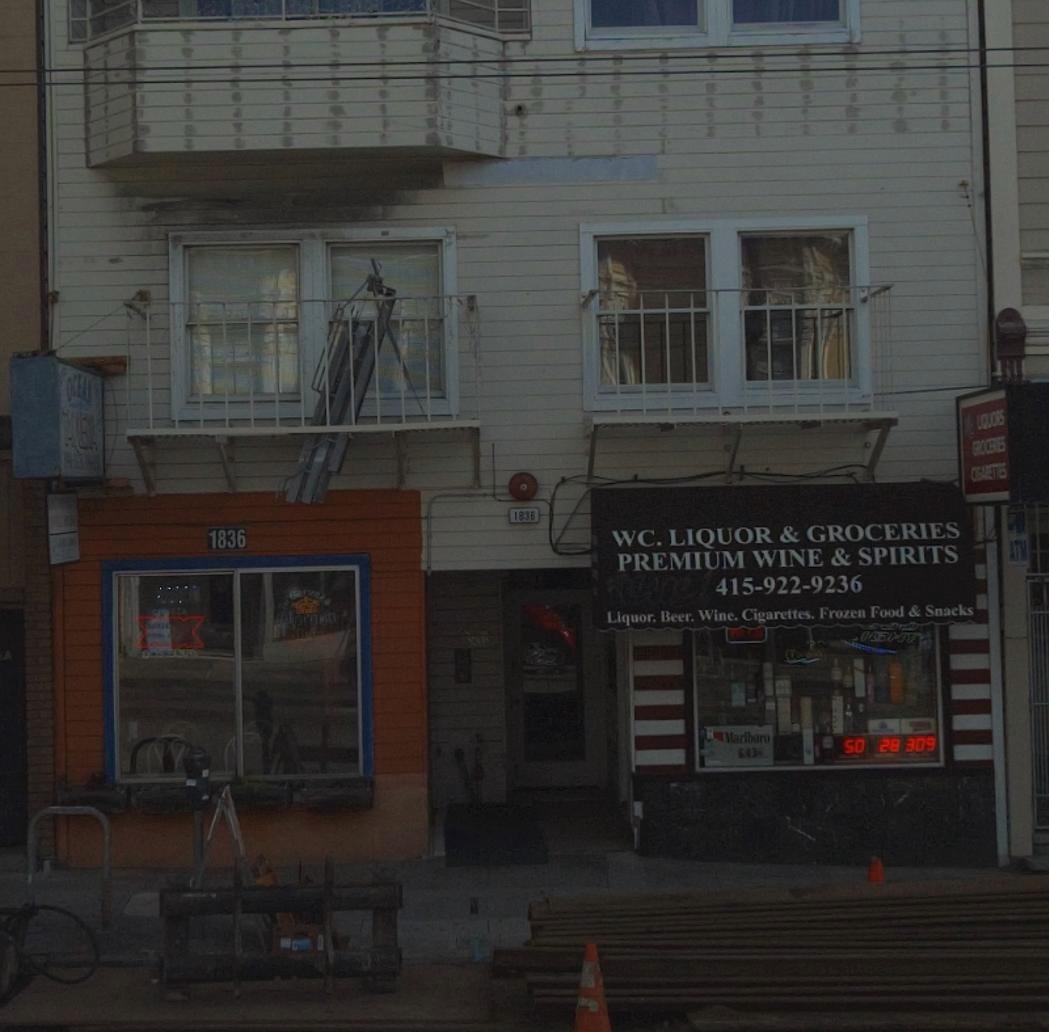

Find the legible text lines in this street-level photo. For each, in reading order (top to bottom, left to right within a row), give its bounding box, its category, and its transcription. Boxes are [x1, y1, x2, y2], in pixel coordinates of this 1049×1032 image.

[975, 404, 1009, 434] None: ***UORS
[970, 432, 1008, 460] None: **OCE**ES
[968, 458, 1010, 485] None: CI*A*ETTES
[513, 509, 537, 523] StreetNumber: 1836
[206, 526, 249, 551] StreetNumber: 1836
[607, 517, 965, 551] BusinessName: WC. LIQUOR & GROCERIES
[615, 542, 963, 574] None: PREMIUM WINE & SPIRITS
[709, 573, 865, 600] None: 415-922-9236
[602, 600, 976, 631] None: Liquor. Beer. Wine. Cigarettes. Frozen Food & Snacks
[133, 613, 207, 651] None: XX
[722, 729, 772, 747] None: Marbaro
[735, 746, 759, 760] None: 6.43
[841, 735, 868, 756] None: 50
[873, 734, 902, 756] None: 28
[902, 734, 939, 755] None: 309